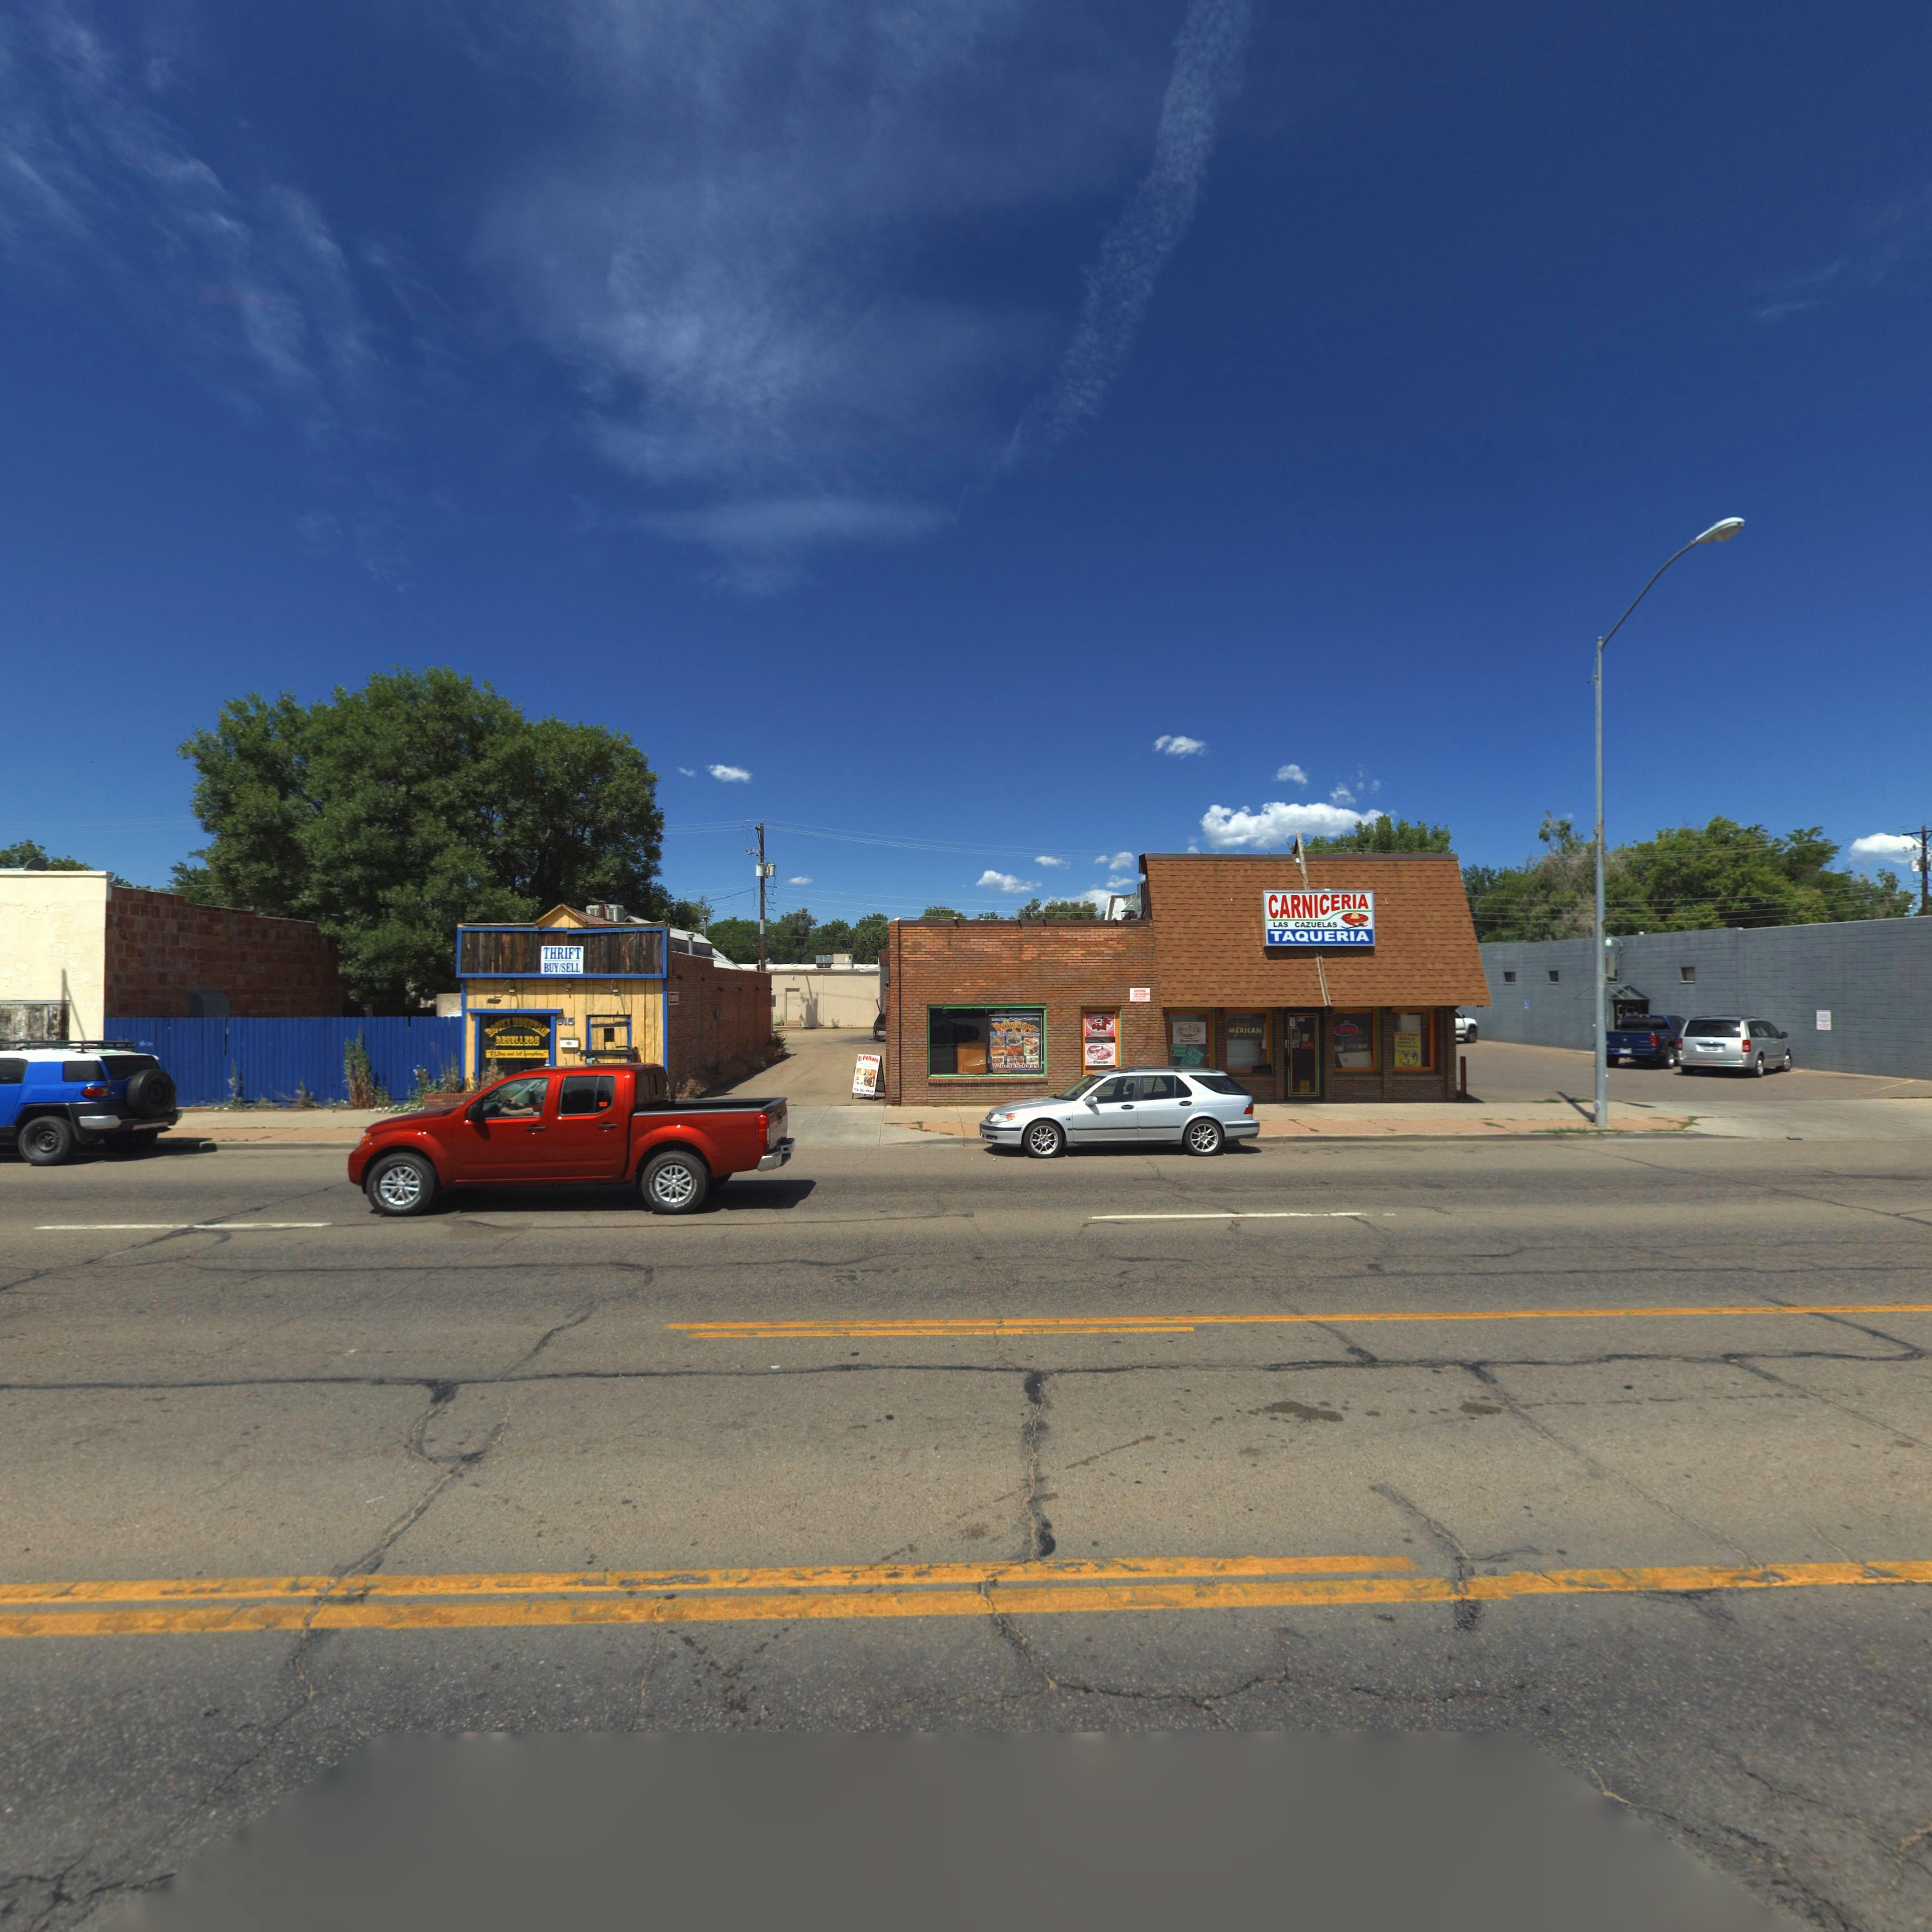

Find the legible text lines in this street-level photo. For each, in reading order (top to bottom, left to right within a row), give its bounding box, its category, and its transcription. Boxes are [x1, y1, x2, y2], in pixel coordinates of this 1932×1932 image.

[1268, 894, 1369, 918] BusinessName: CARNICERIA
[1273, 921, 1337, 927] BusinessName: LAS CAZUELAS
[1270, 930, 1371, 943] BusinessName: TAQUERIA
[483, 1016, 551, 1038] BusinessName: ROCKY MOUNTAIN
[556, 1016, 575, 1026] StreetNumber: 915
[495, 1035, 540, 1046] BusinessName: RESELLERS